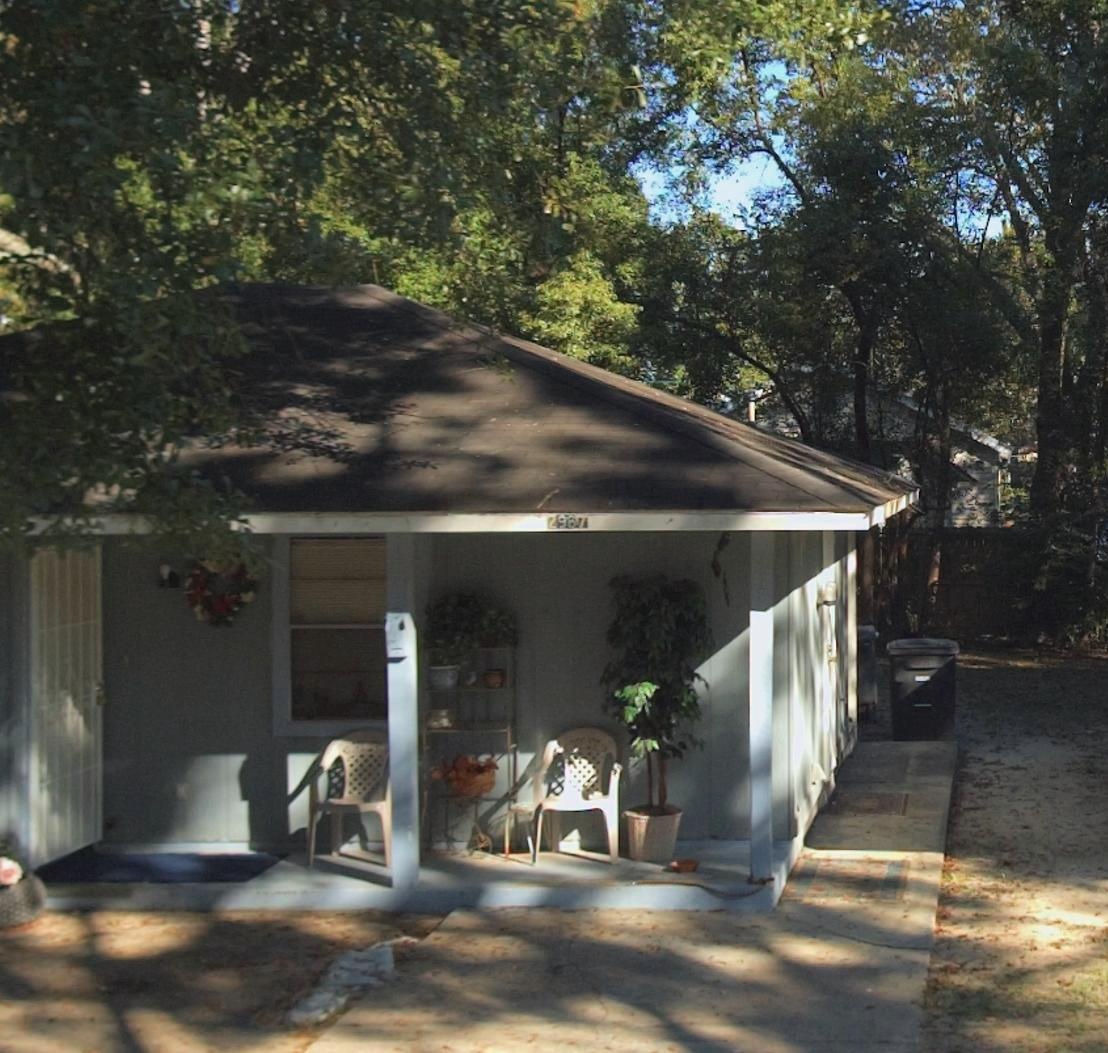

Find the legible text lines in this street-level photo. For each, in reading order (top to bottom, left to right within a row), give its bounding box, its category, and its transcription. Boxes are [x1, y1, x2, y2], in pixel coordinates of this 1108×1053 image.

[546, 513, 588, 531] StreetNumber: 29*7